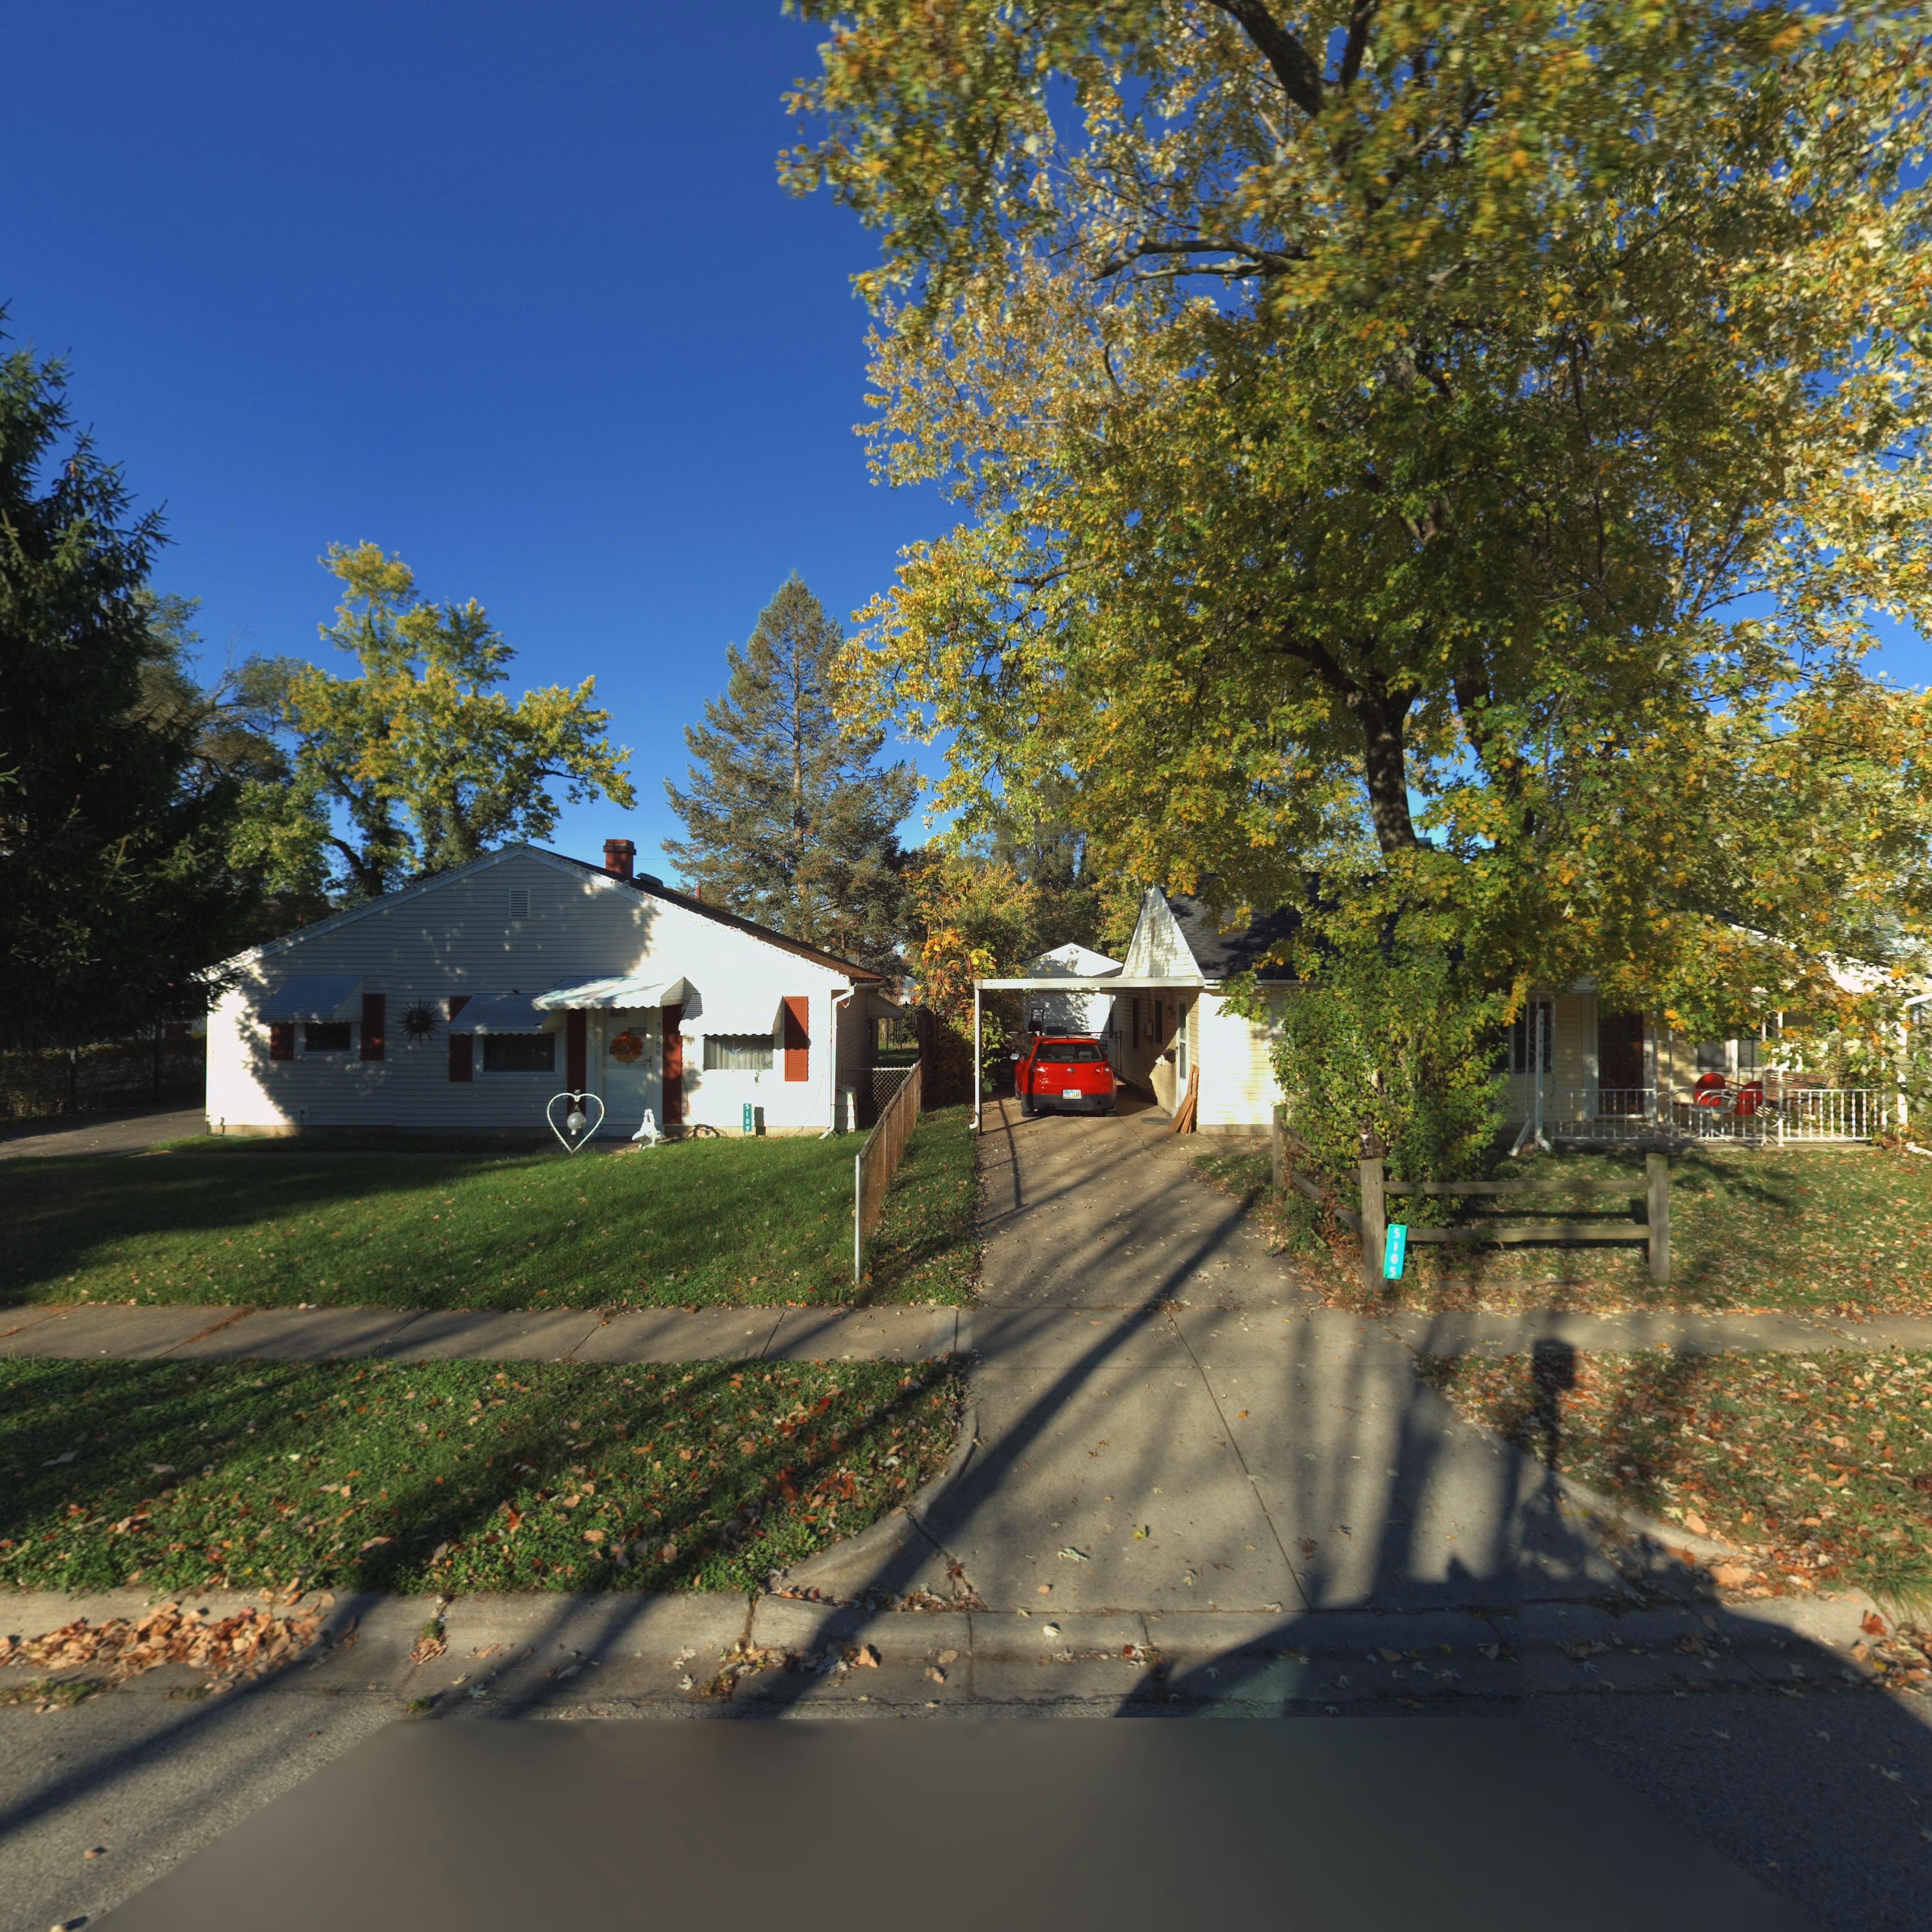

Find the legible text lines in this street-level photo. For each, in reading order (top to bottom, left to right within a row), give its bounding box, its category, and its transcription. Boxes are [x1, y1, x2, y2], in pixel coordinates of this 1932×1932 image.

[656, 1022, 662, 1057] StreetNumber: 5109
[745, 1104, 750, 1131] StreetNumber: 5109
[1388, 1227, 1401, 1278] StreetNumber: 5105